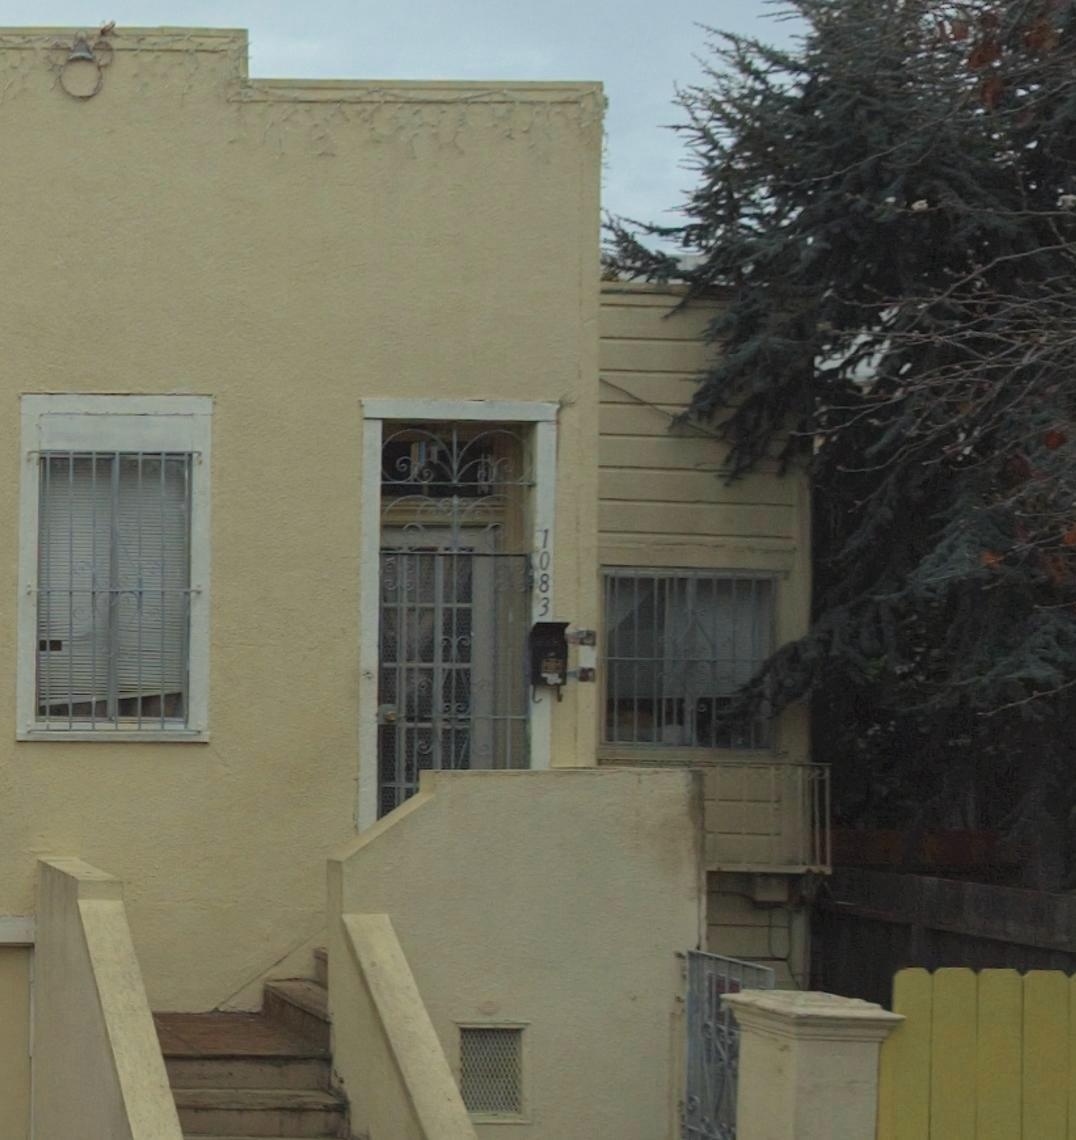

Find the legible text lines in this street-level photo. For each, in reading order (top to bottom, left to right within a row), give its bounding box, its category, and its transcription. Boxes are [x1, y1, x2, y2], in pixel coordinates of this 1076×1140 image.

[537, 526, 551, 619] StreetNumber: 1083